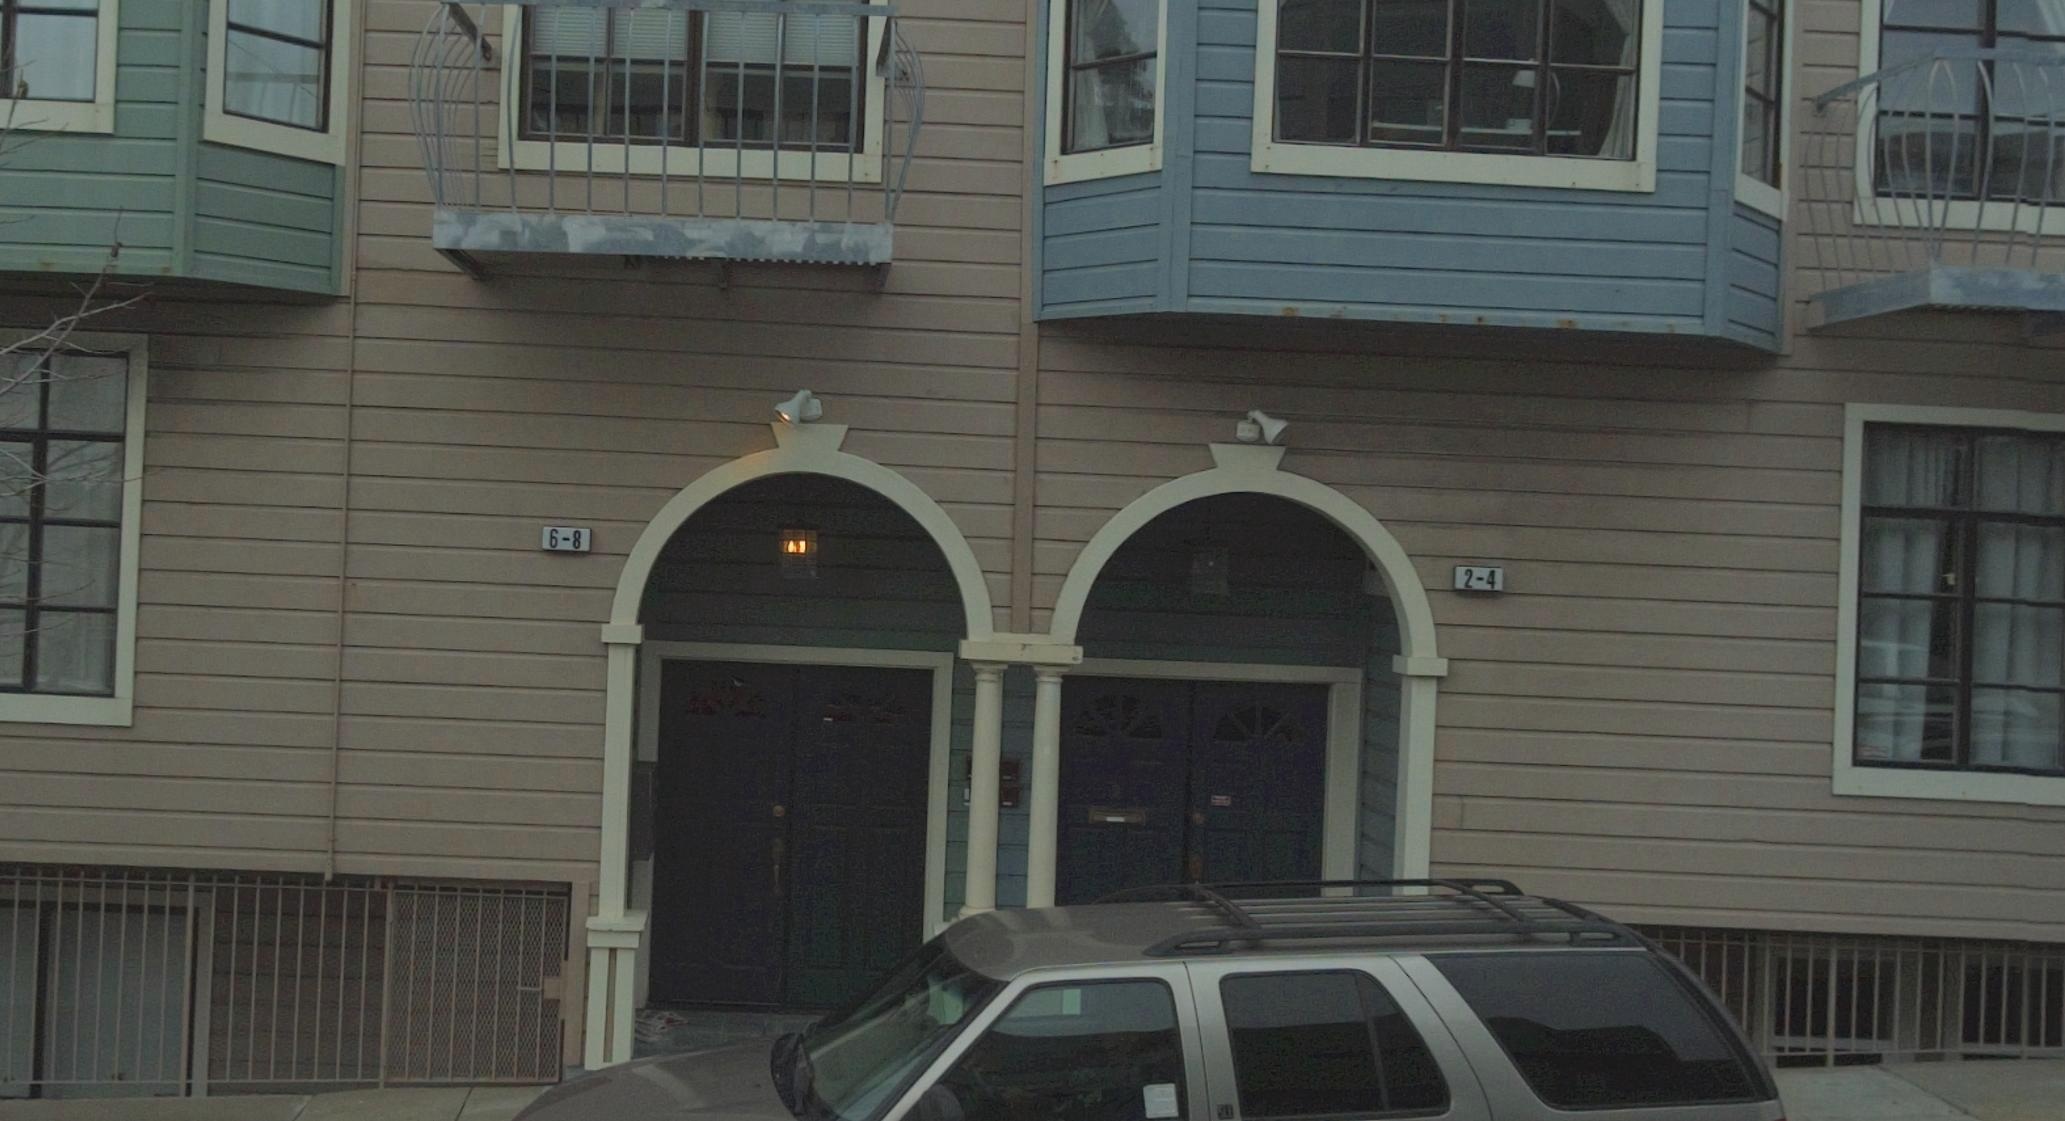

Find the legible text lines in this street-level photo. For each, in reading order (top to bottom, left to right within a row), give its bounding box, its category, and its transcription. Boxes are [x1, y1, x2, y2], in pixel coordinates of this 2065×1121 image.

[547, 527, 561, 550] StreetNumber: 6
[570, 528, 584, 551] StreetNumber: 8
[1461, 567, 1476, 590] StreetNumber: 2
[1484, 568, 1498, 591] StreetNumber: 4